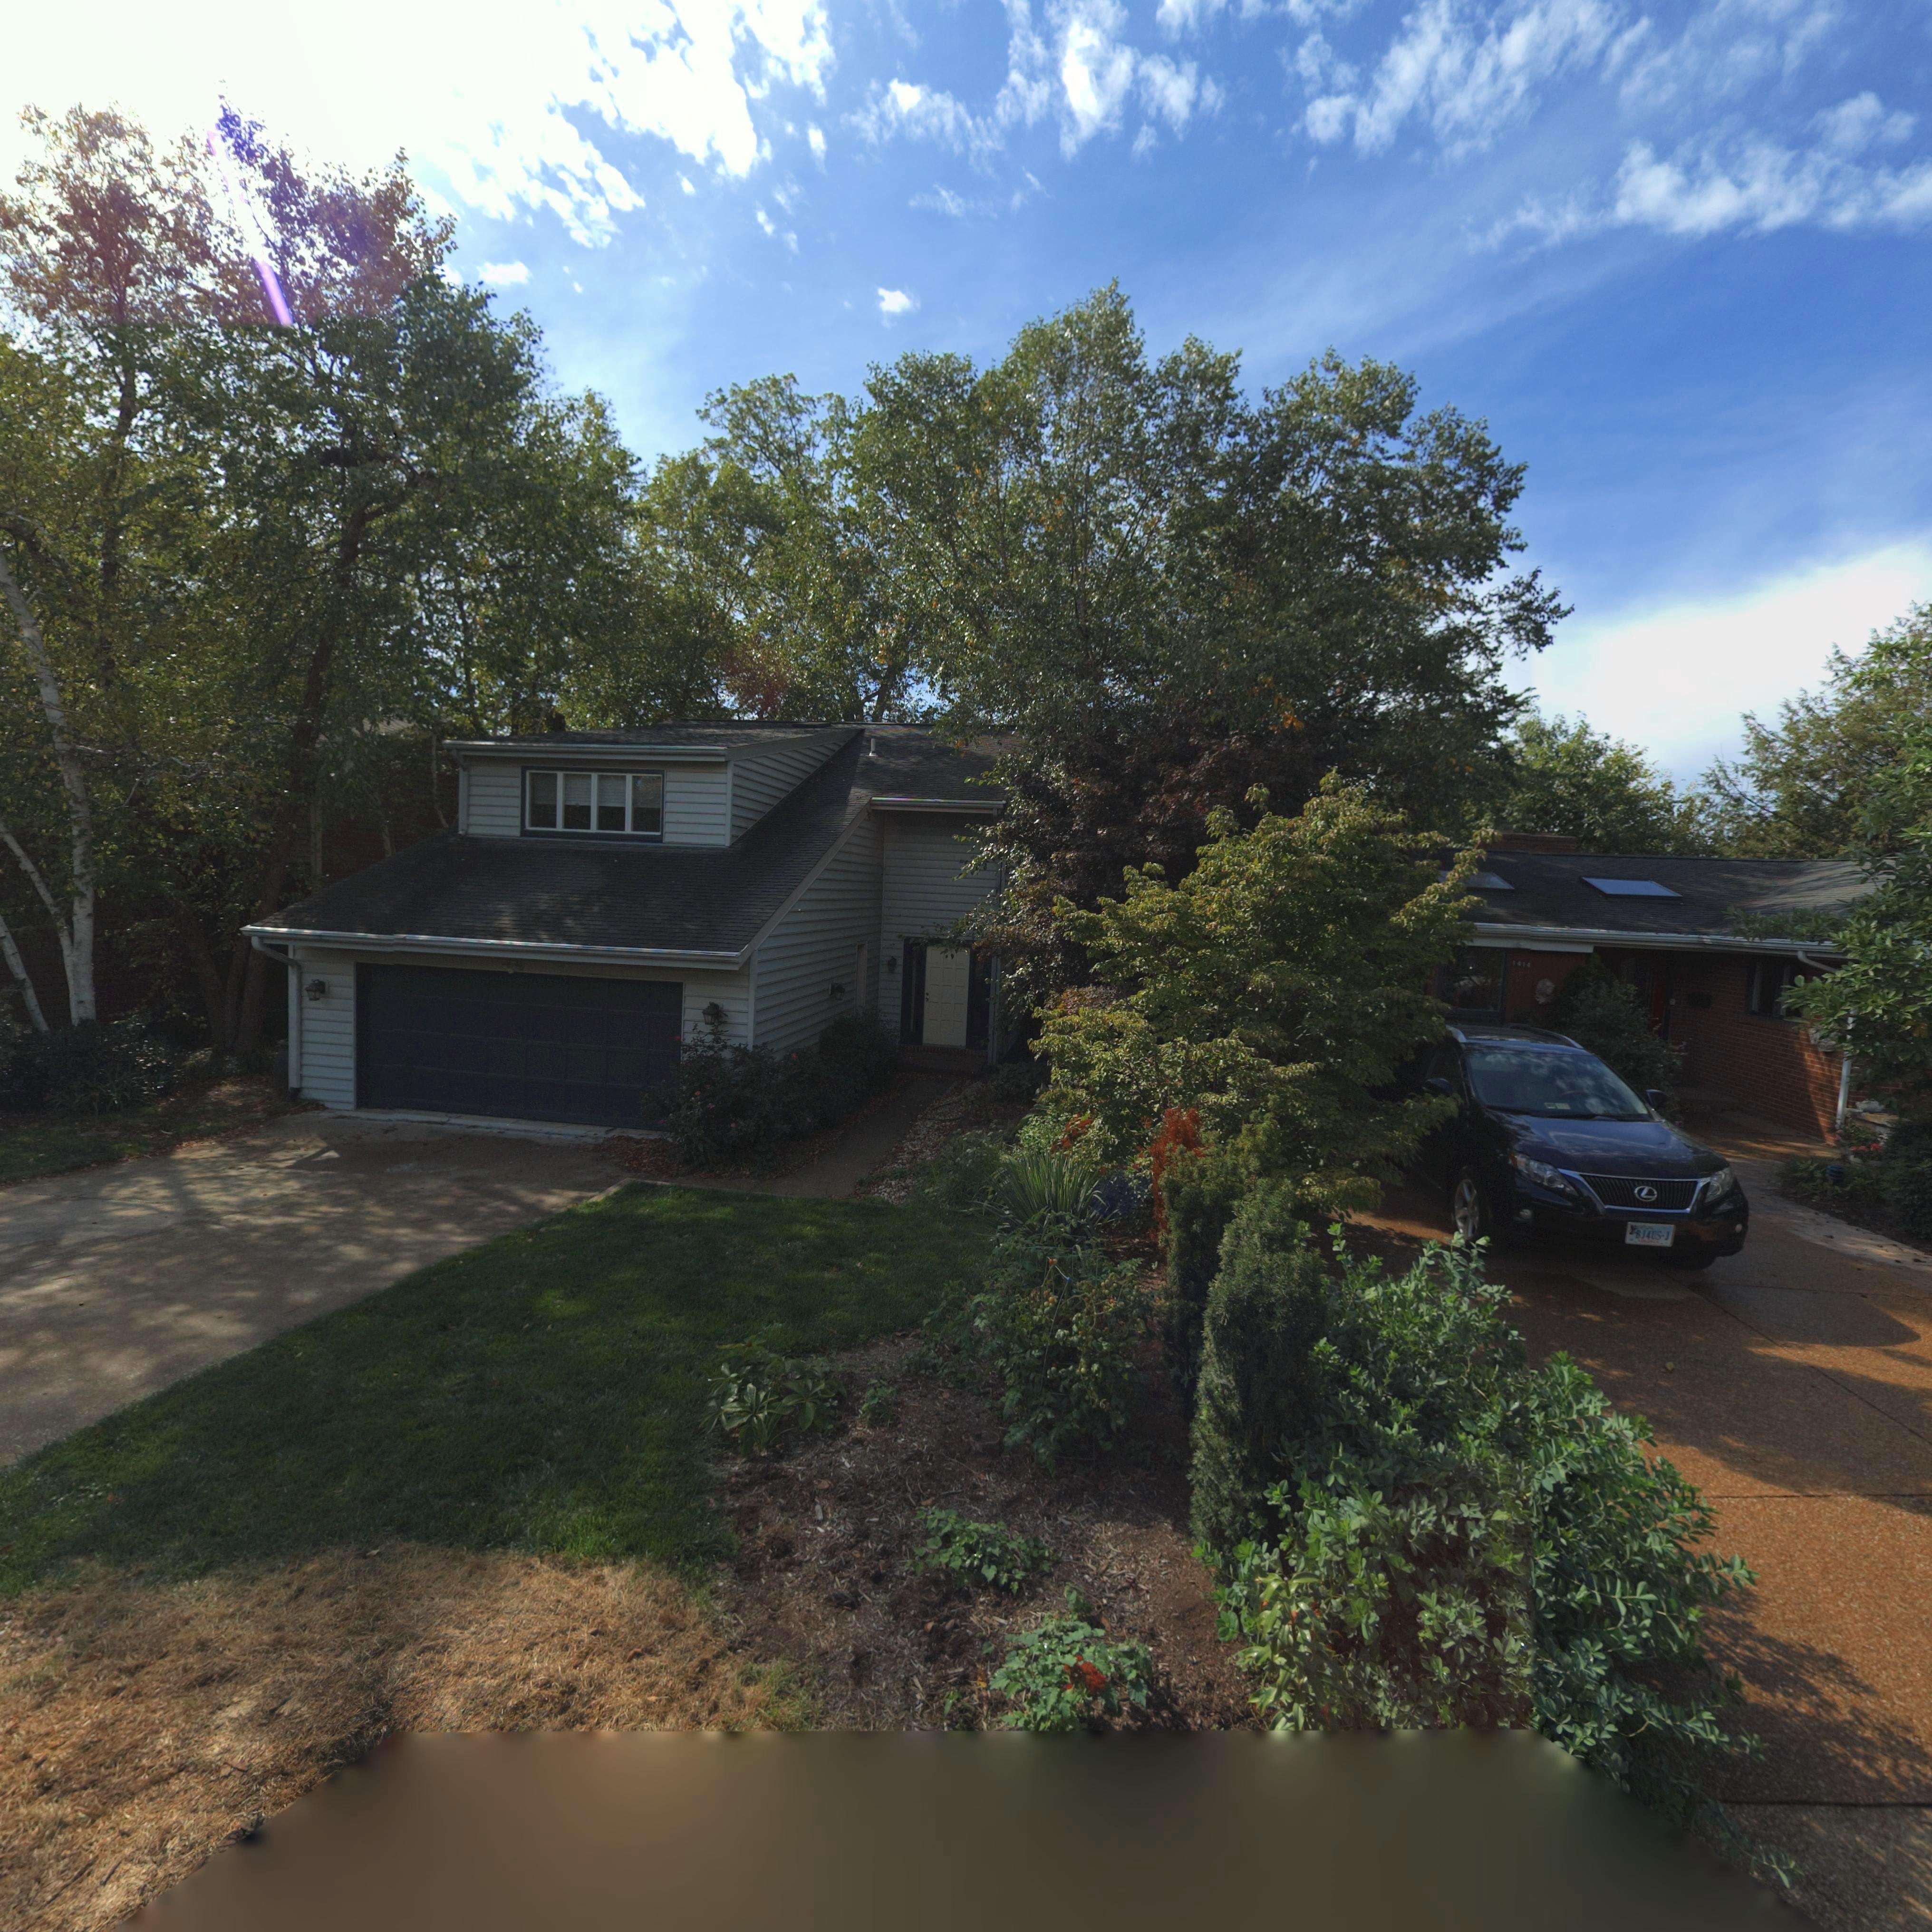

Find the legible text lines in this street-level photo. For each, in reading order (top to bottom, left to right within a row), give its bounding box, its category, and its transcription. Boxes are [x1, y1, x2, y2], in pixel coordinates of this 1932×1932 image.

[1510, 957, 1532, 970] StreetNumber: 1*1*
[1633, 1227, 1671, 1242] None: BJ4US-J